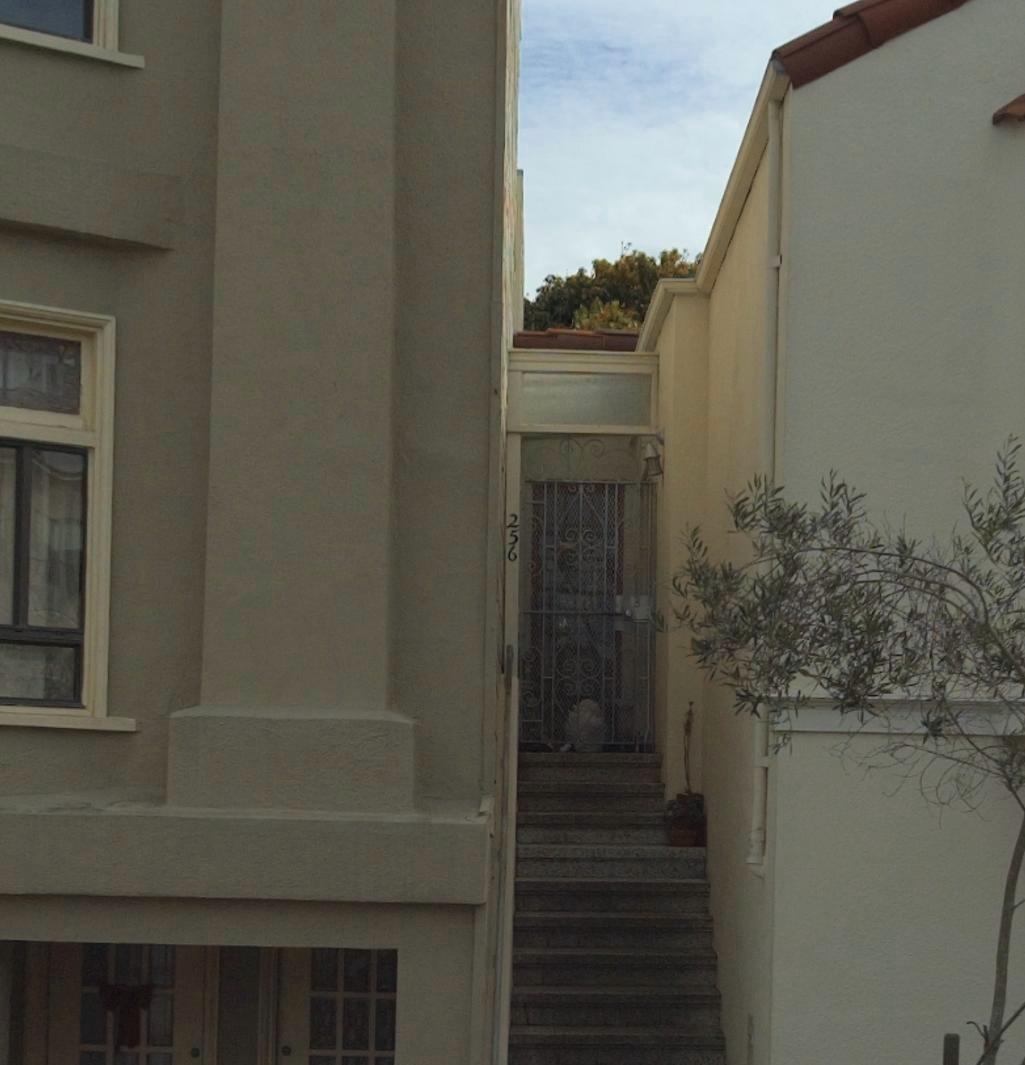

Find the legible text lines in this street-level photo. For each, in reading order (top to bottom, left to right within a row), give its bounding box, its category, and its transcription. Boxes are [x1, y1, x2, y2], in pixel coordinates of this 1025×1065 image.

[505, 512, 521, 562] StreetNumber: 256